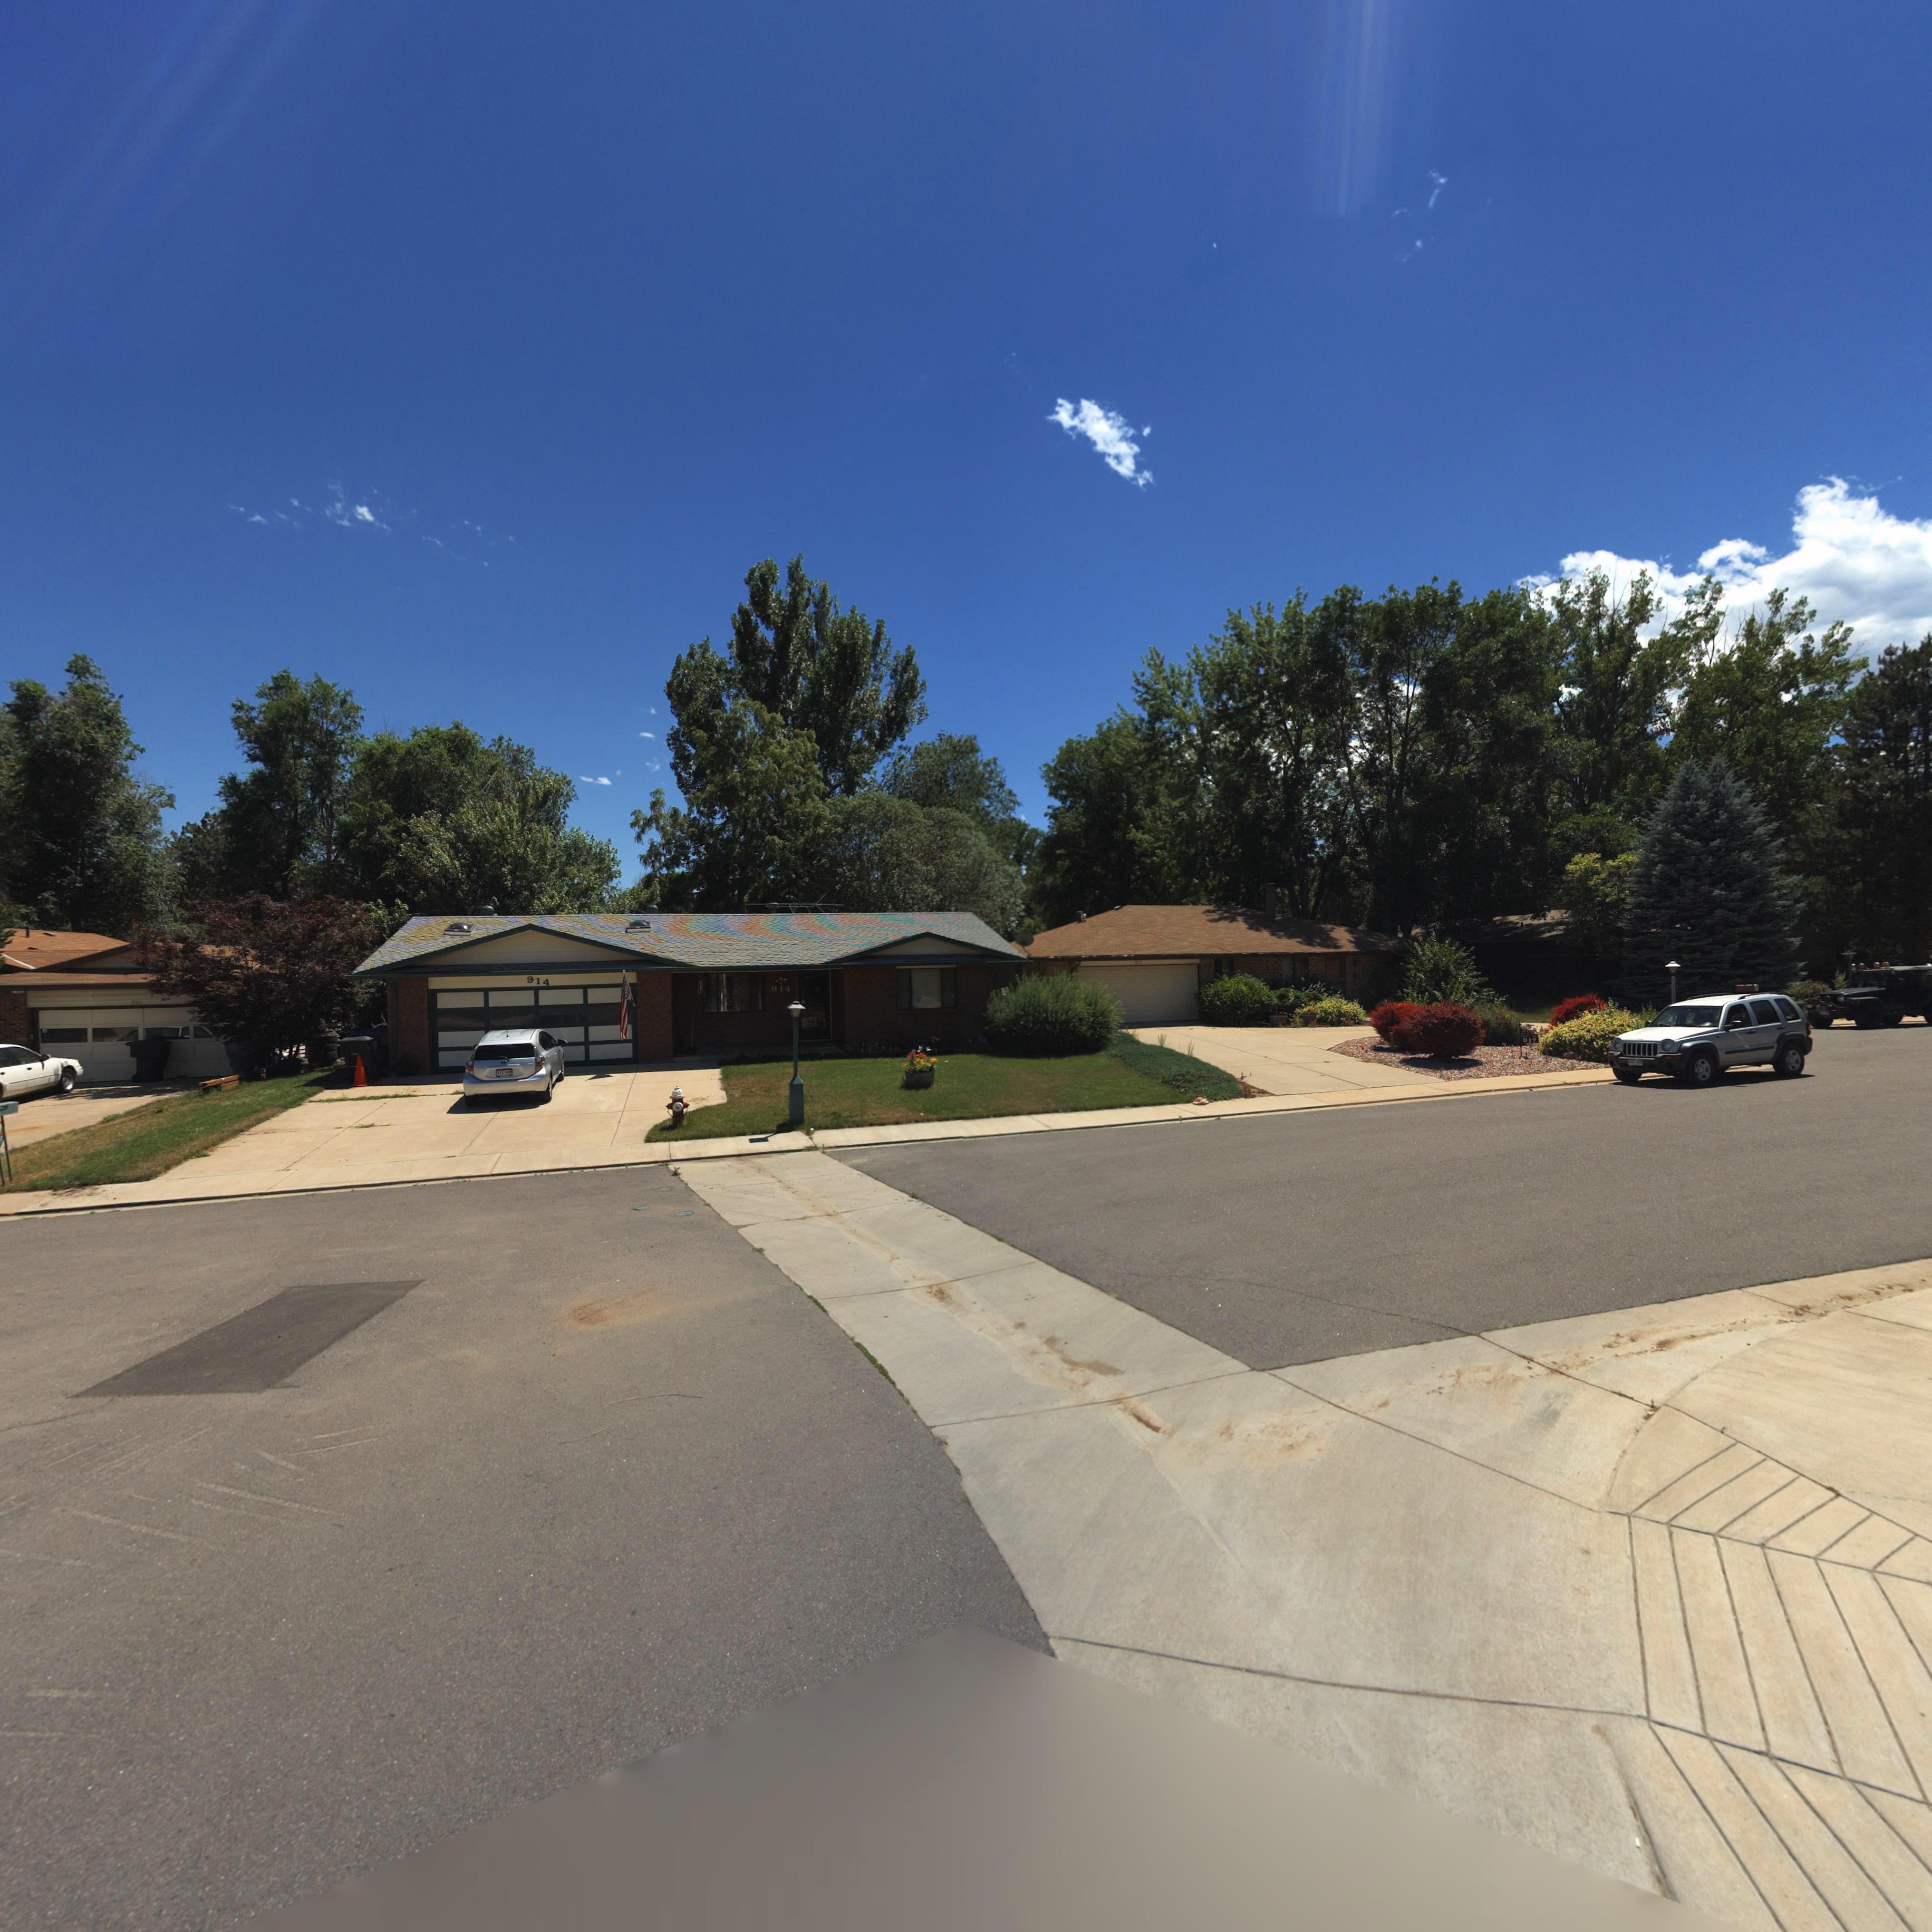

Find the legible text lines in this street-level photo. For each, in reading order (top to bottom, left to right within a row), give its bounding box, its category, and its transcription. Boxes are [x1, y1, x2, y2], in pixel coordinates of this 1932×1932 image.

[1134, 960, 1142, 965] StreetNumber: 91*
[526, 976, 550, 986] StreetNumber: 914
[771, 985, 790, 992] StreetNumber: 914
[1522, 1037, 1537, 1043] StreetNumber: 917